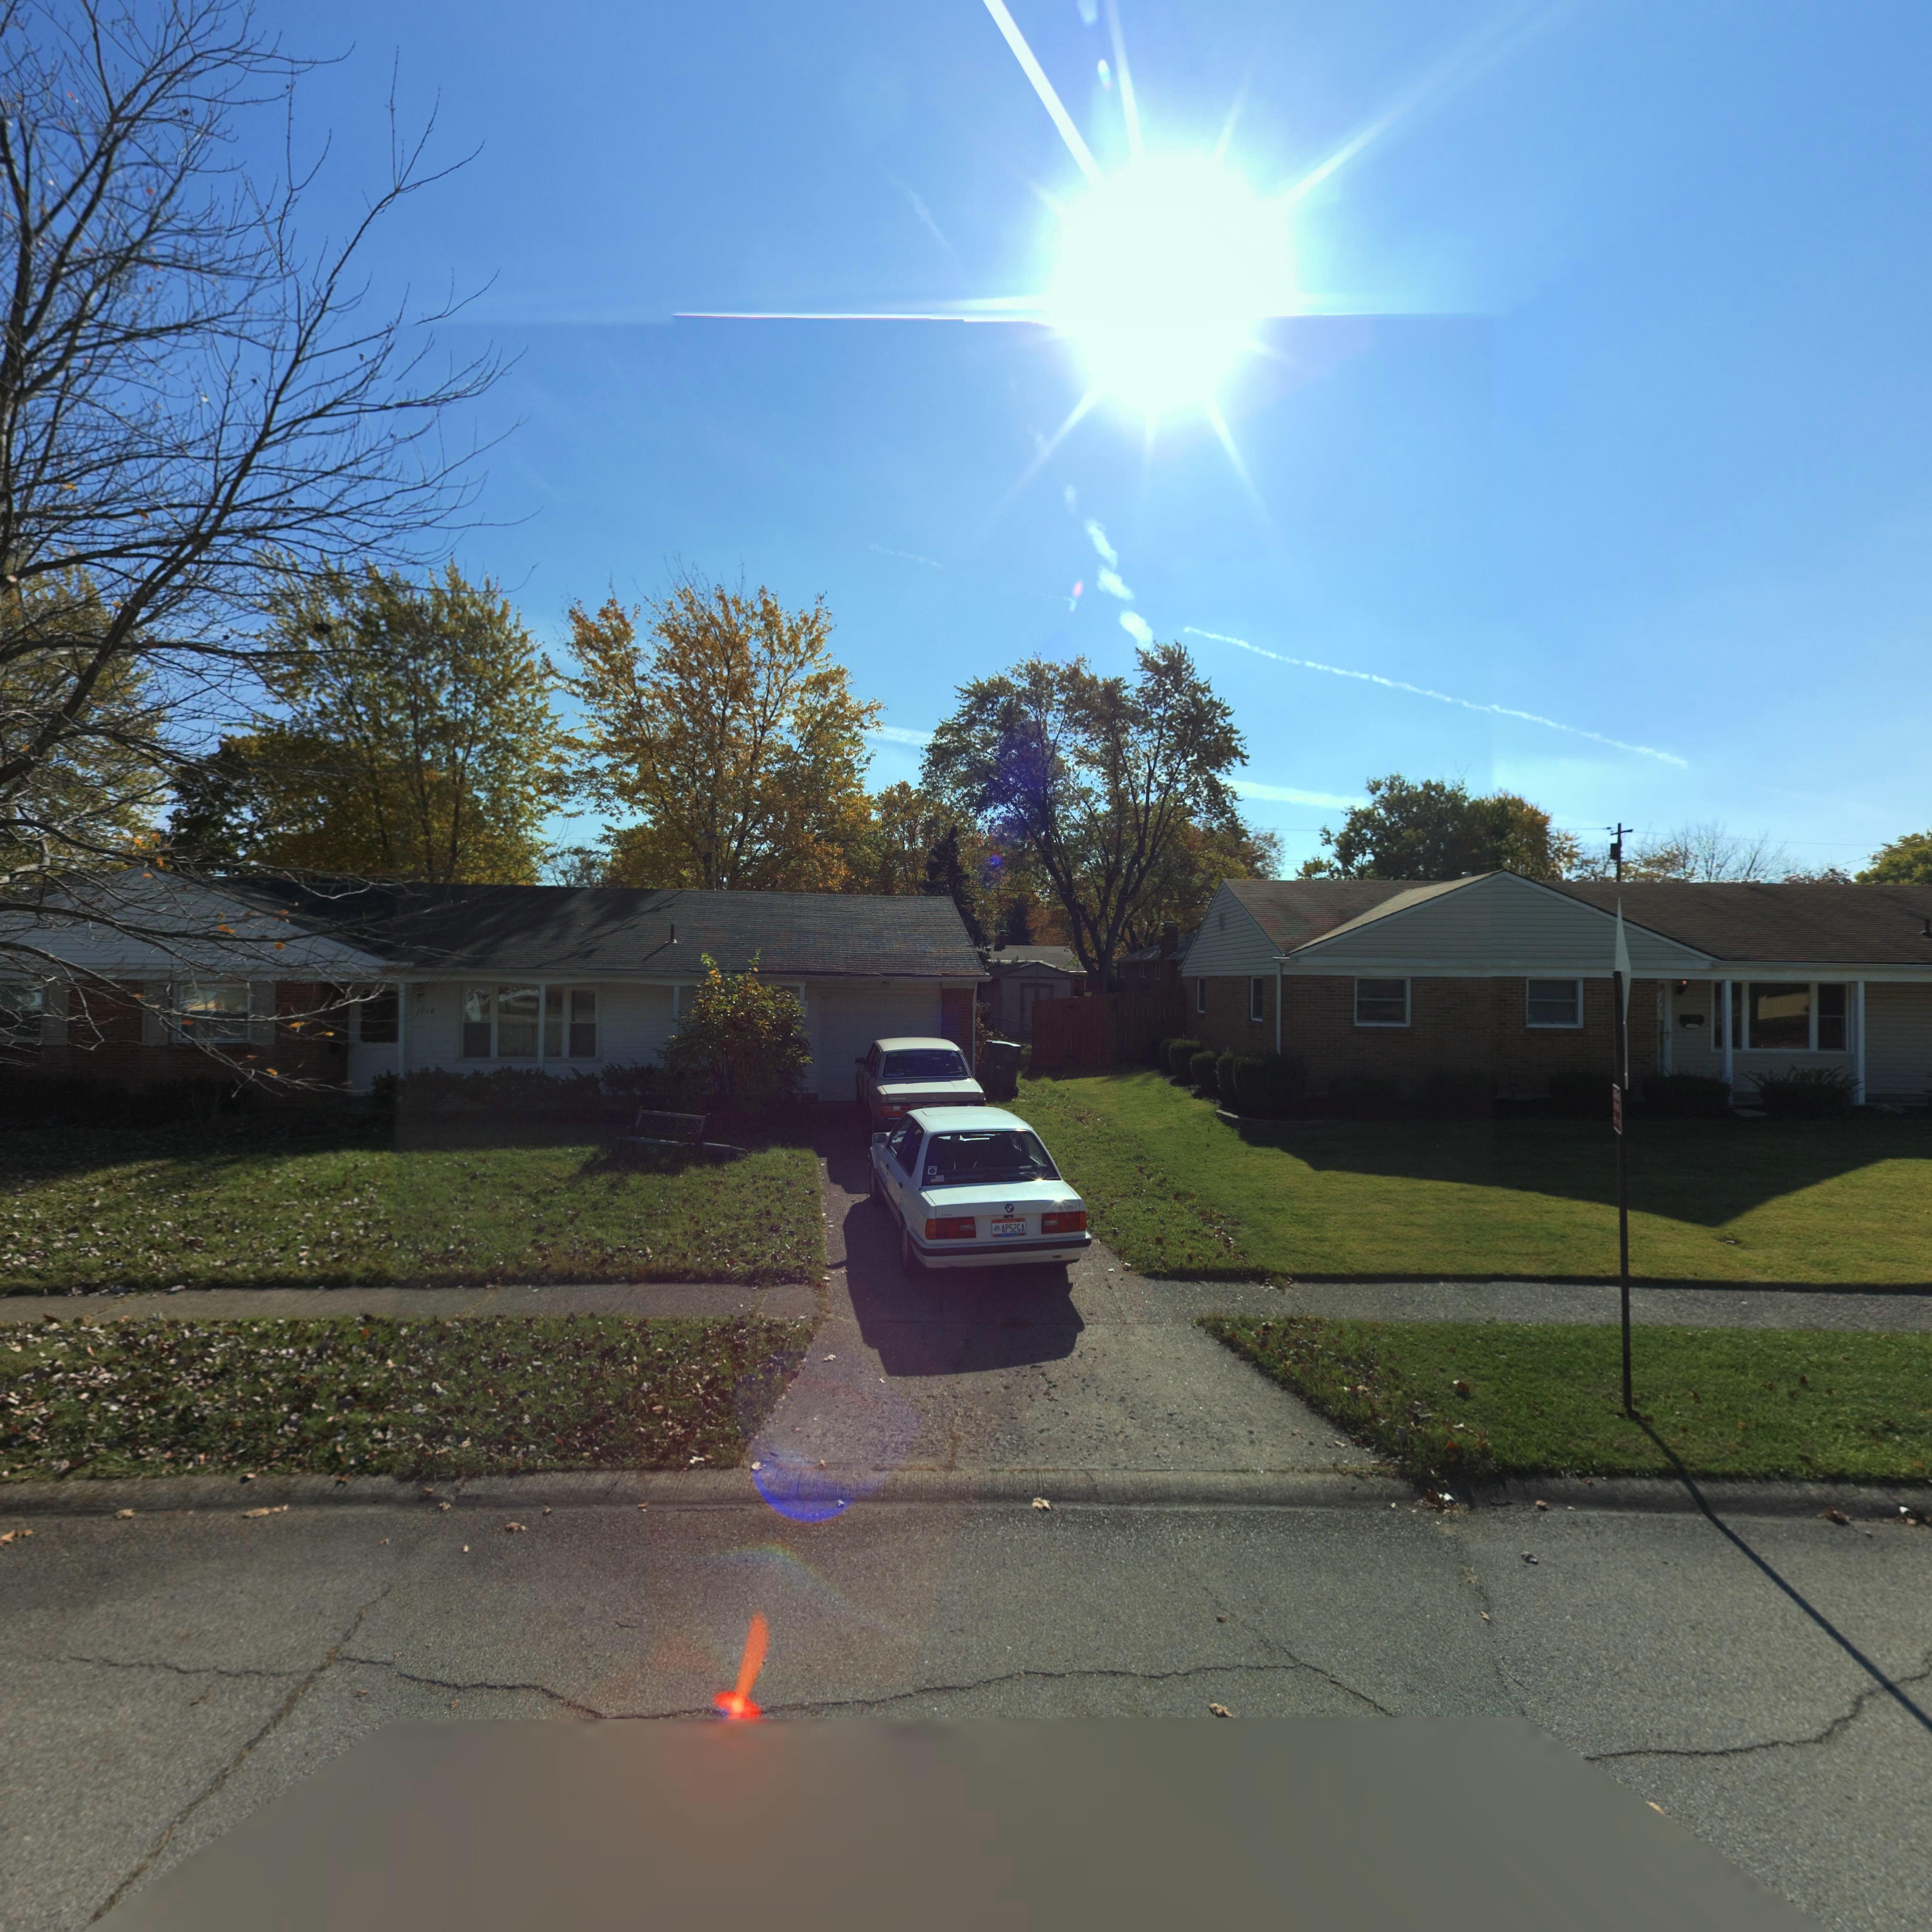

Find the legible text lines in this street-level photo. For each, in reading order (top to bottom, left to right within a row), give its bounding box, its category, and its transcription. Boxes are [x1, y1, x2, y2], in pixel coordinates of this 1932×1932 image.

[416, 1006, 436, 1014] StreetNumber: 1218
[890, 1097, 906, 1101] None: VOLVO
[1002, 1222, 1025, 1234] None: AP52GA